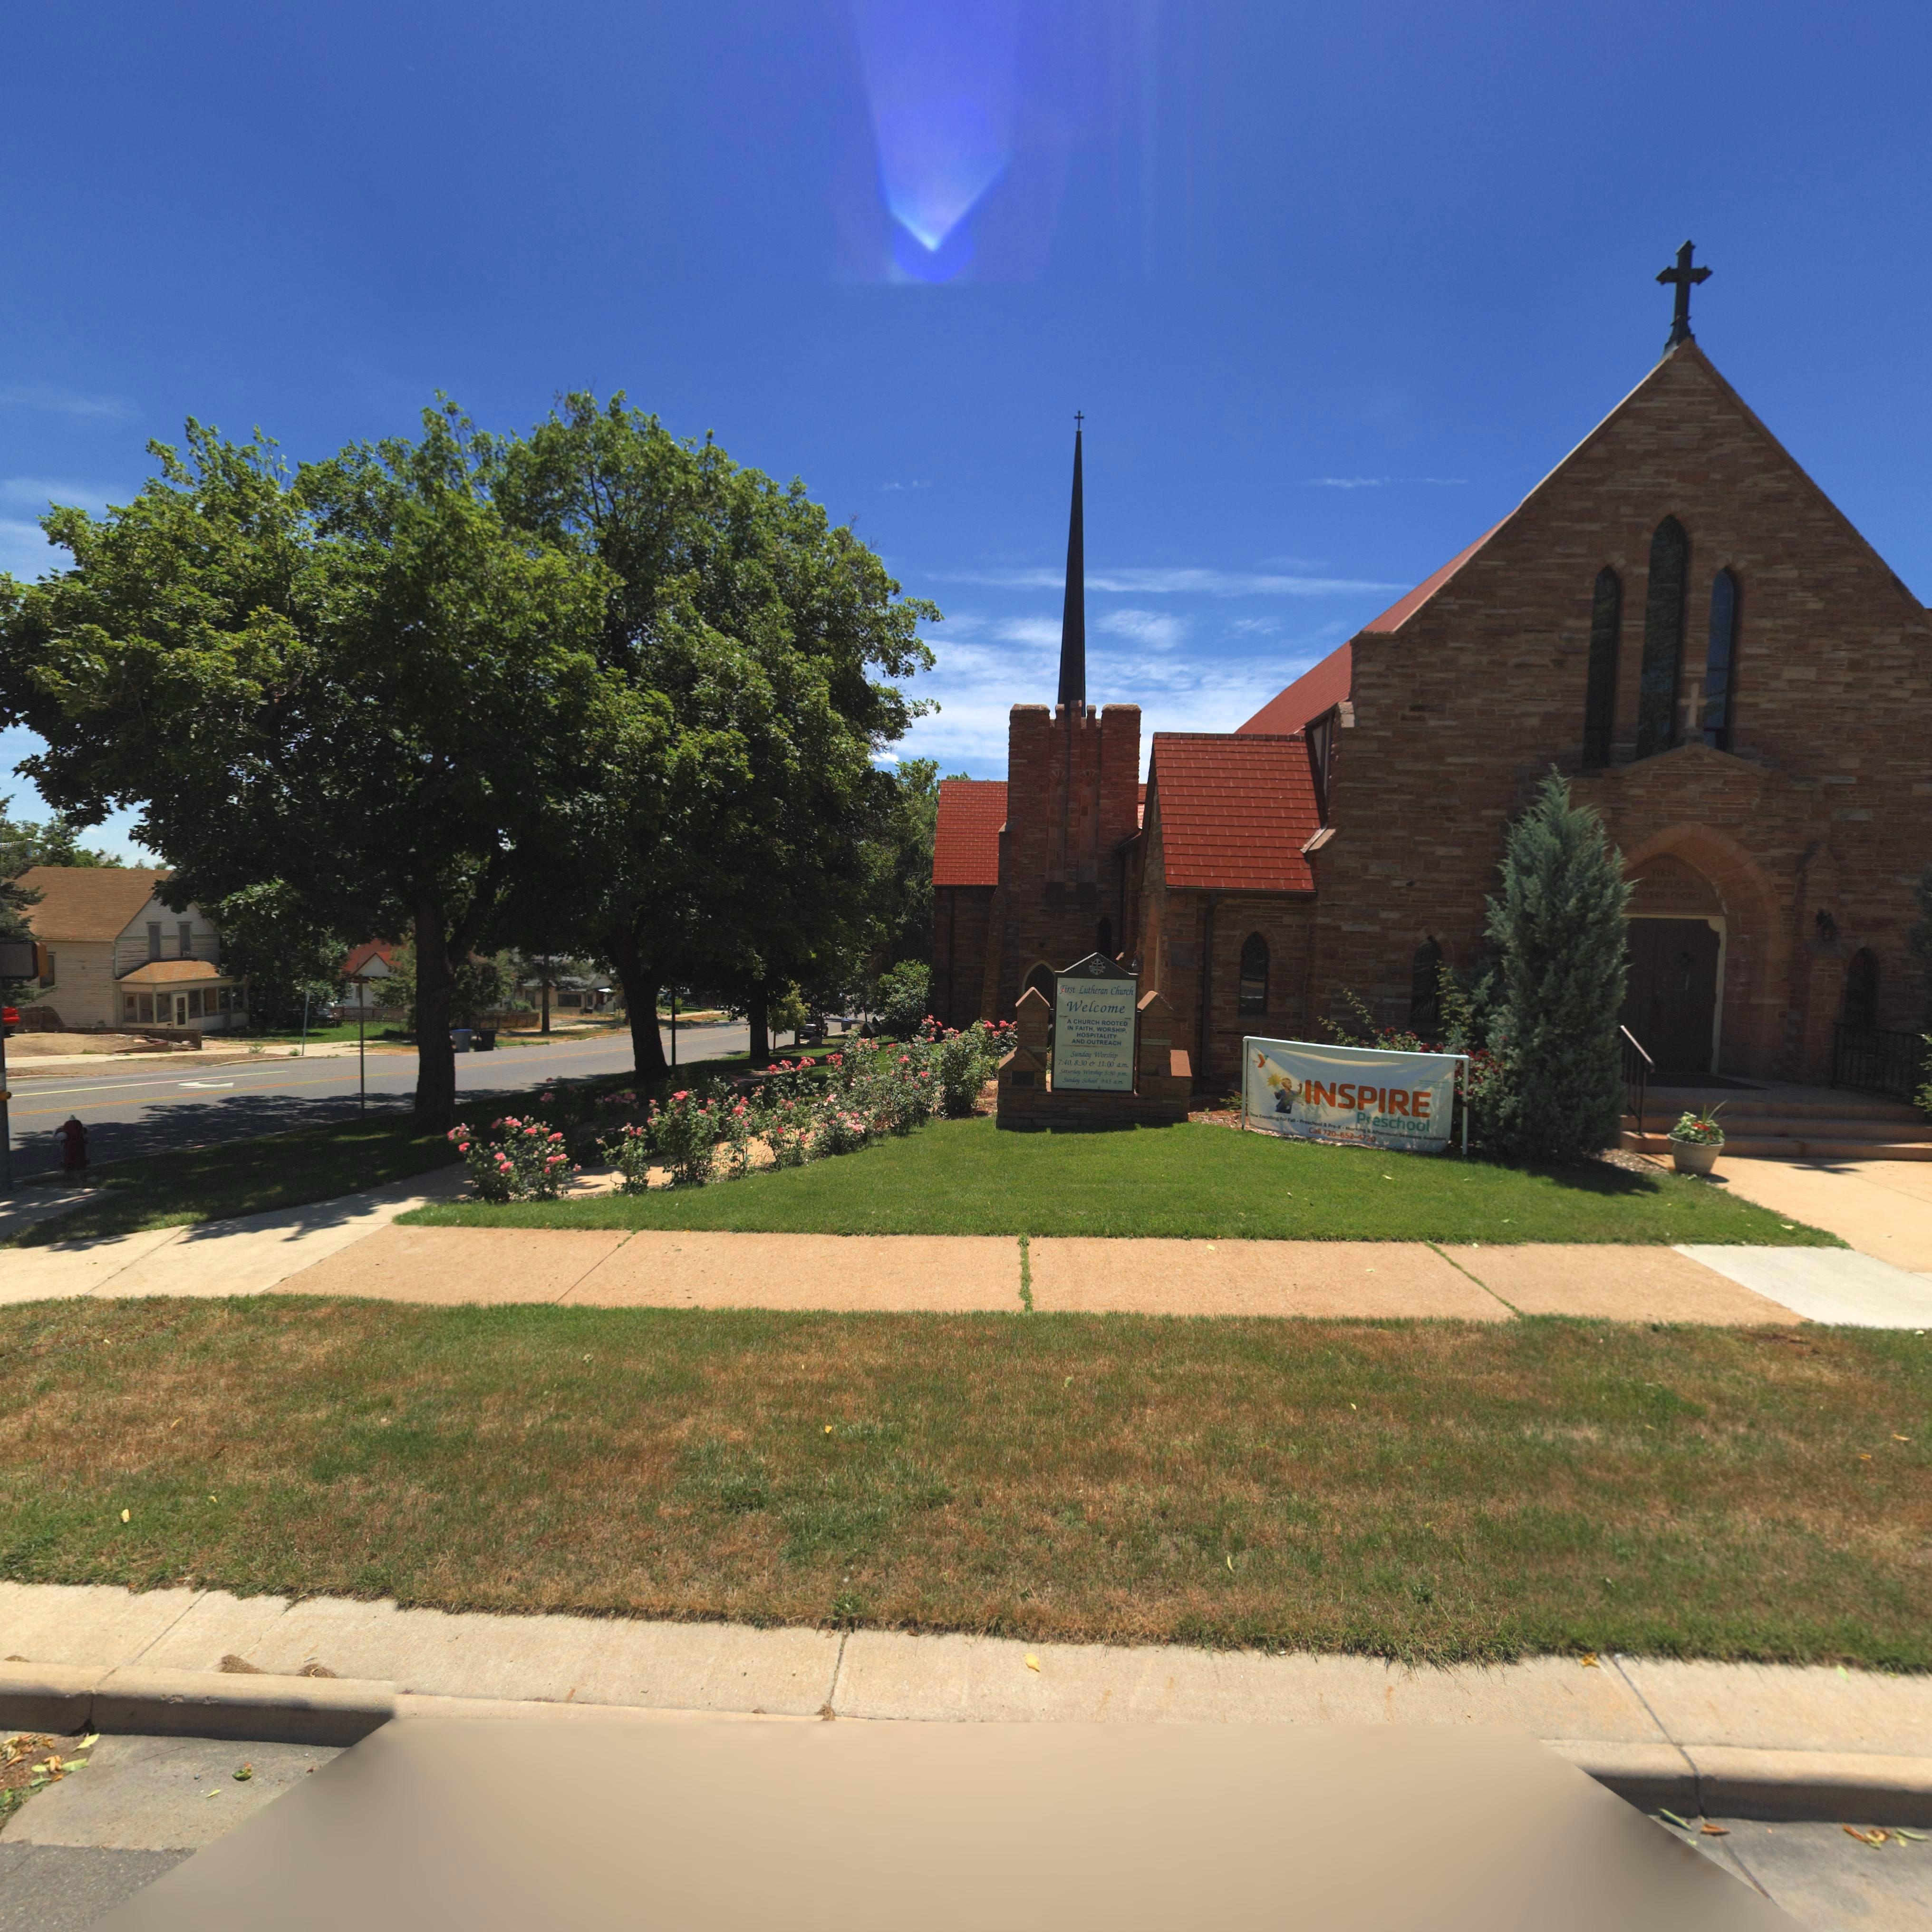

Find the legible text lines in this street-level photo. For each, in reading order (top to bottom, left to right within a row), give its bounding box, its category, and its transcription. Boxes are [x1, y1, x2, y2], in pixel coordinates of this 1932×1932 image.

[1651, 866, 1679, 878] BusinessName: FIRST
[1627, 878, 1697, 890] BusinessName: *VANGELICAL
[1626, 888, 1704, 903] BusinessName: ***HERAN CHURCH
[1058, 984, 1135, 996] BusinessName: First Lutheran Church
[1304, 1079, 1431, 1118] BusinessName: INSPIRE
[1356, 1111, 1430, 1131] BusinessName: Preschool